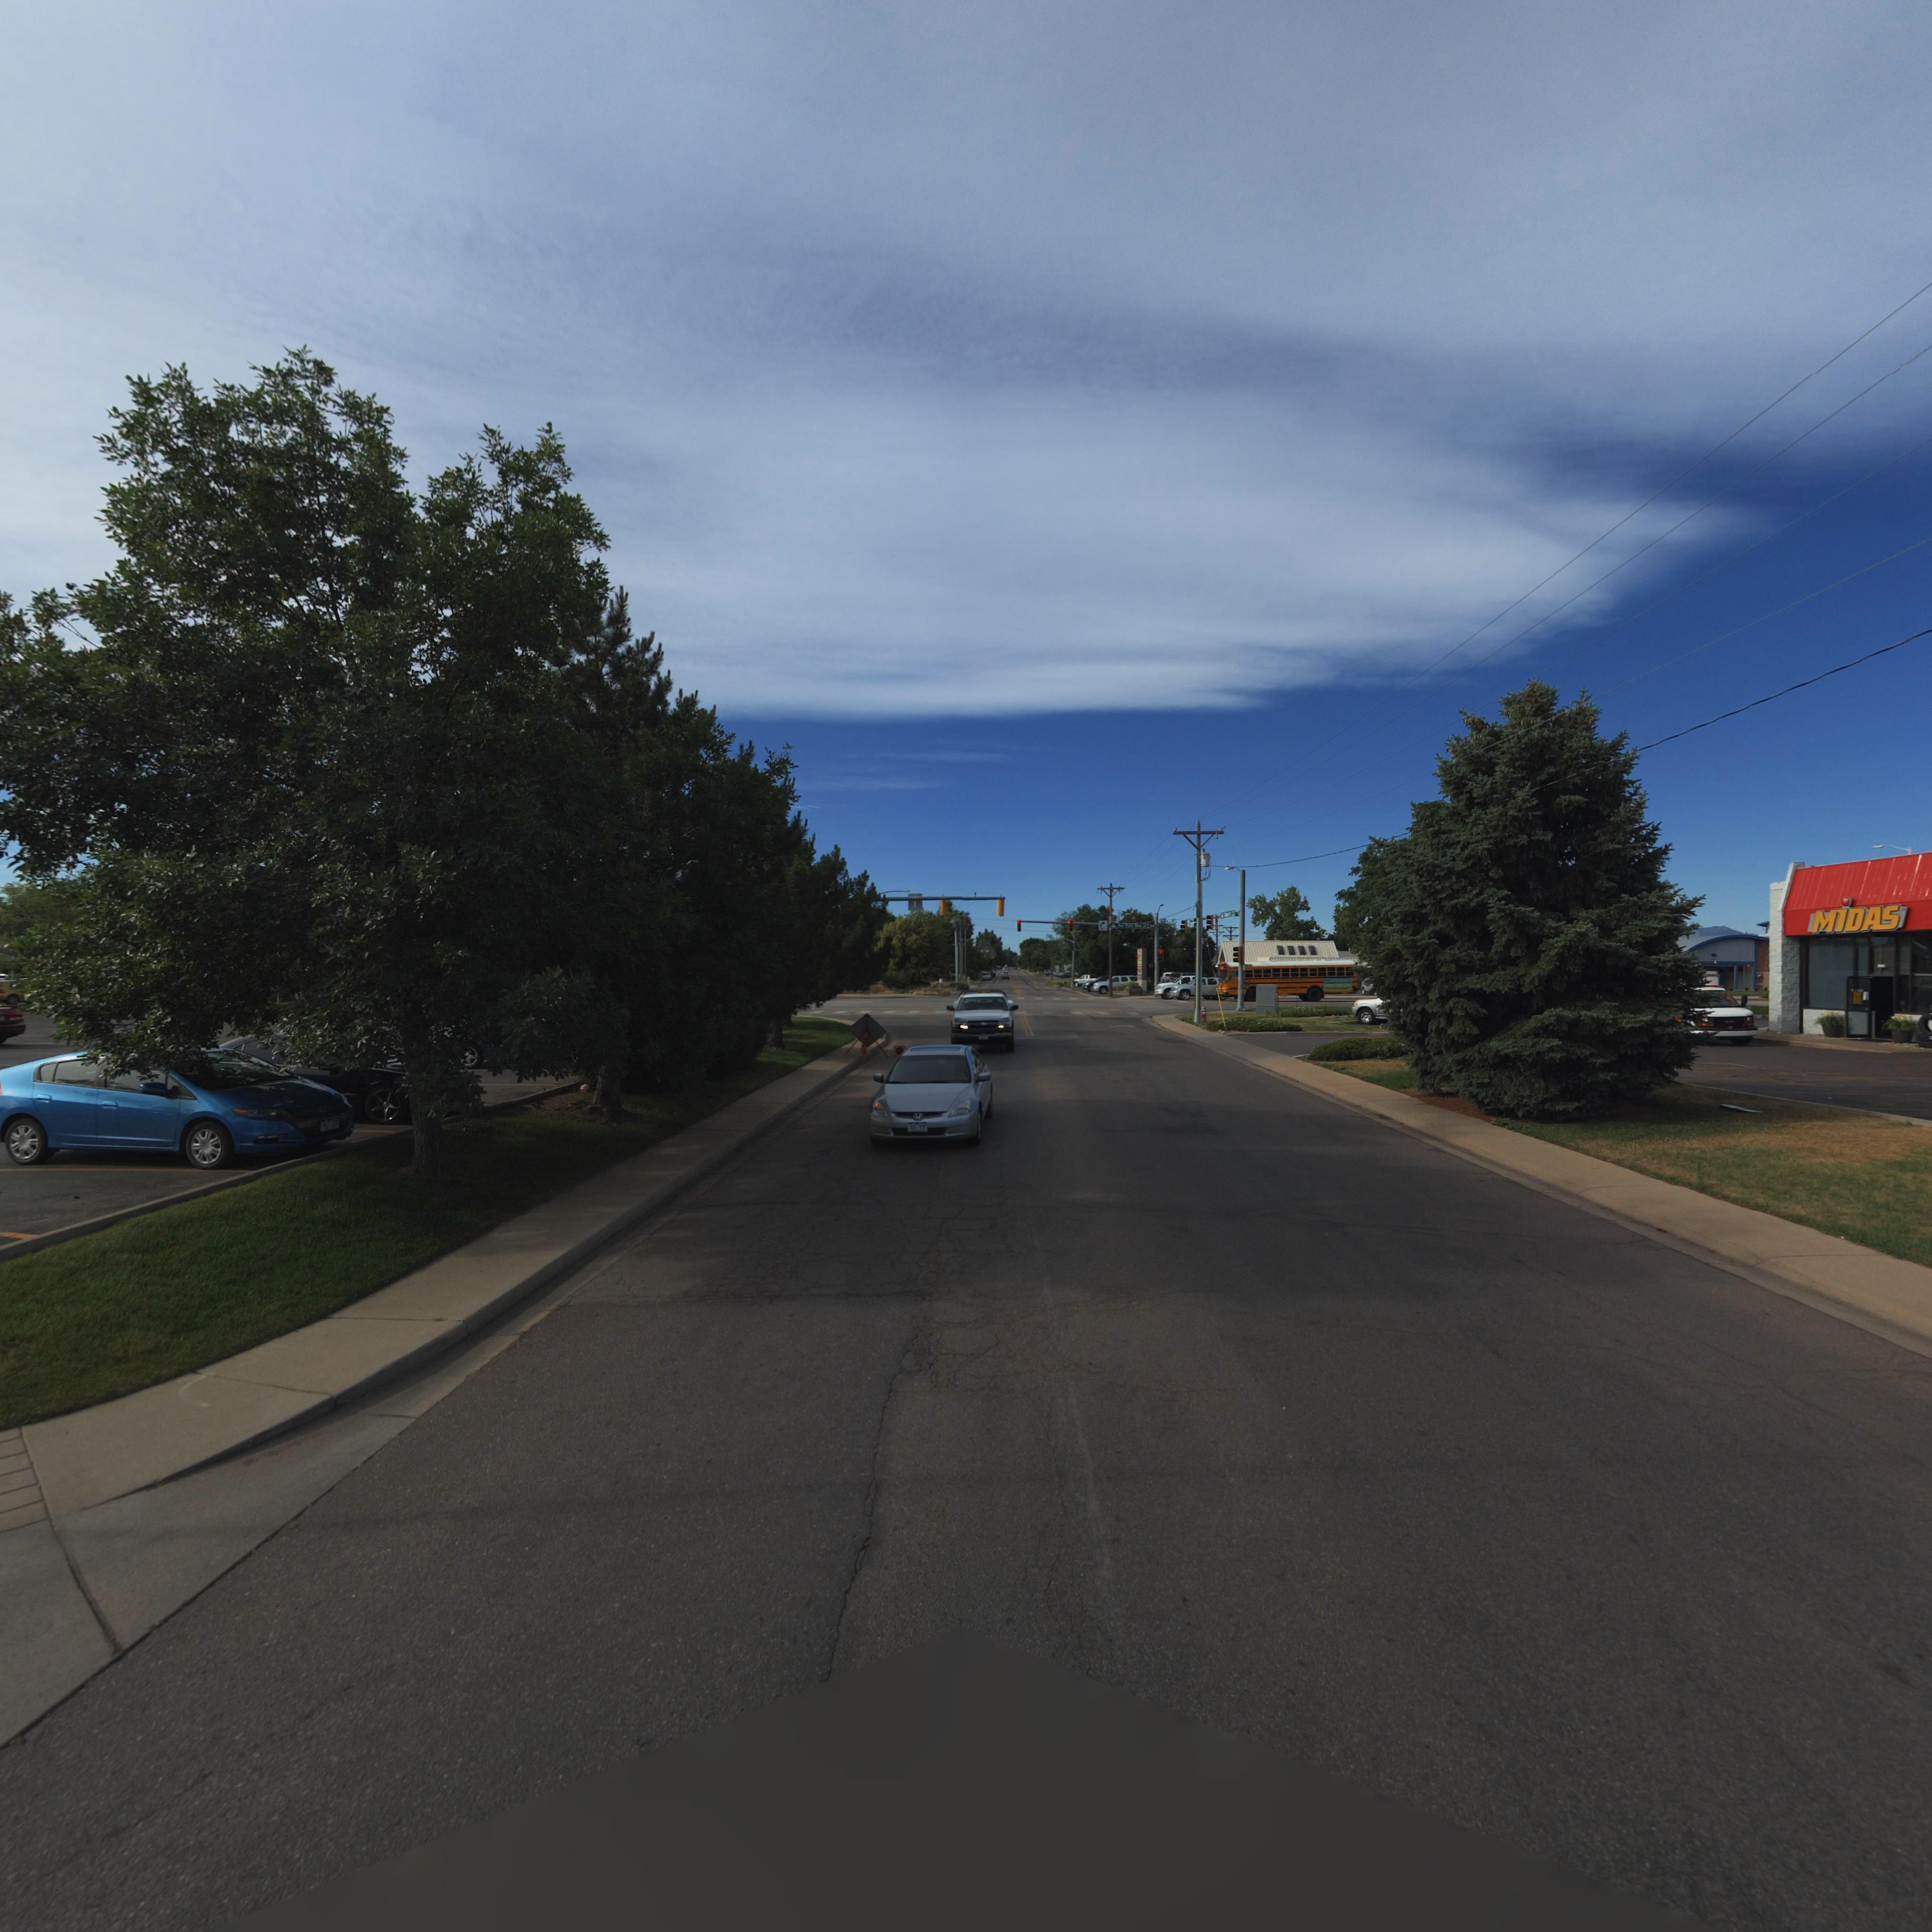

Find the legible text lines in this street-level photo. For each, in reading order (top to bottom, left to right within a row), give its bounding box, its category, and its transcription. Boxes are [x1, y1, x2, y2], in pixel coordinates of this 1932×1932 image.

[1118, 923, 1142, 928] StreetName: K** P**** B**d
[1810, 896, 1900, 934] BusinessName: MiDAS